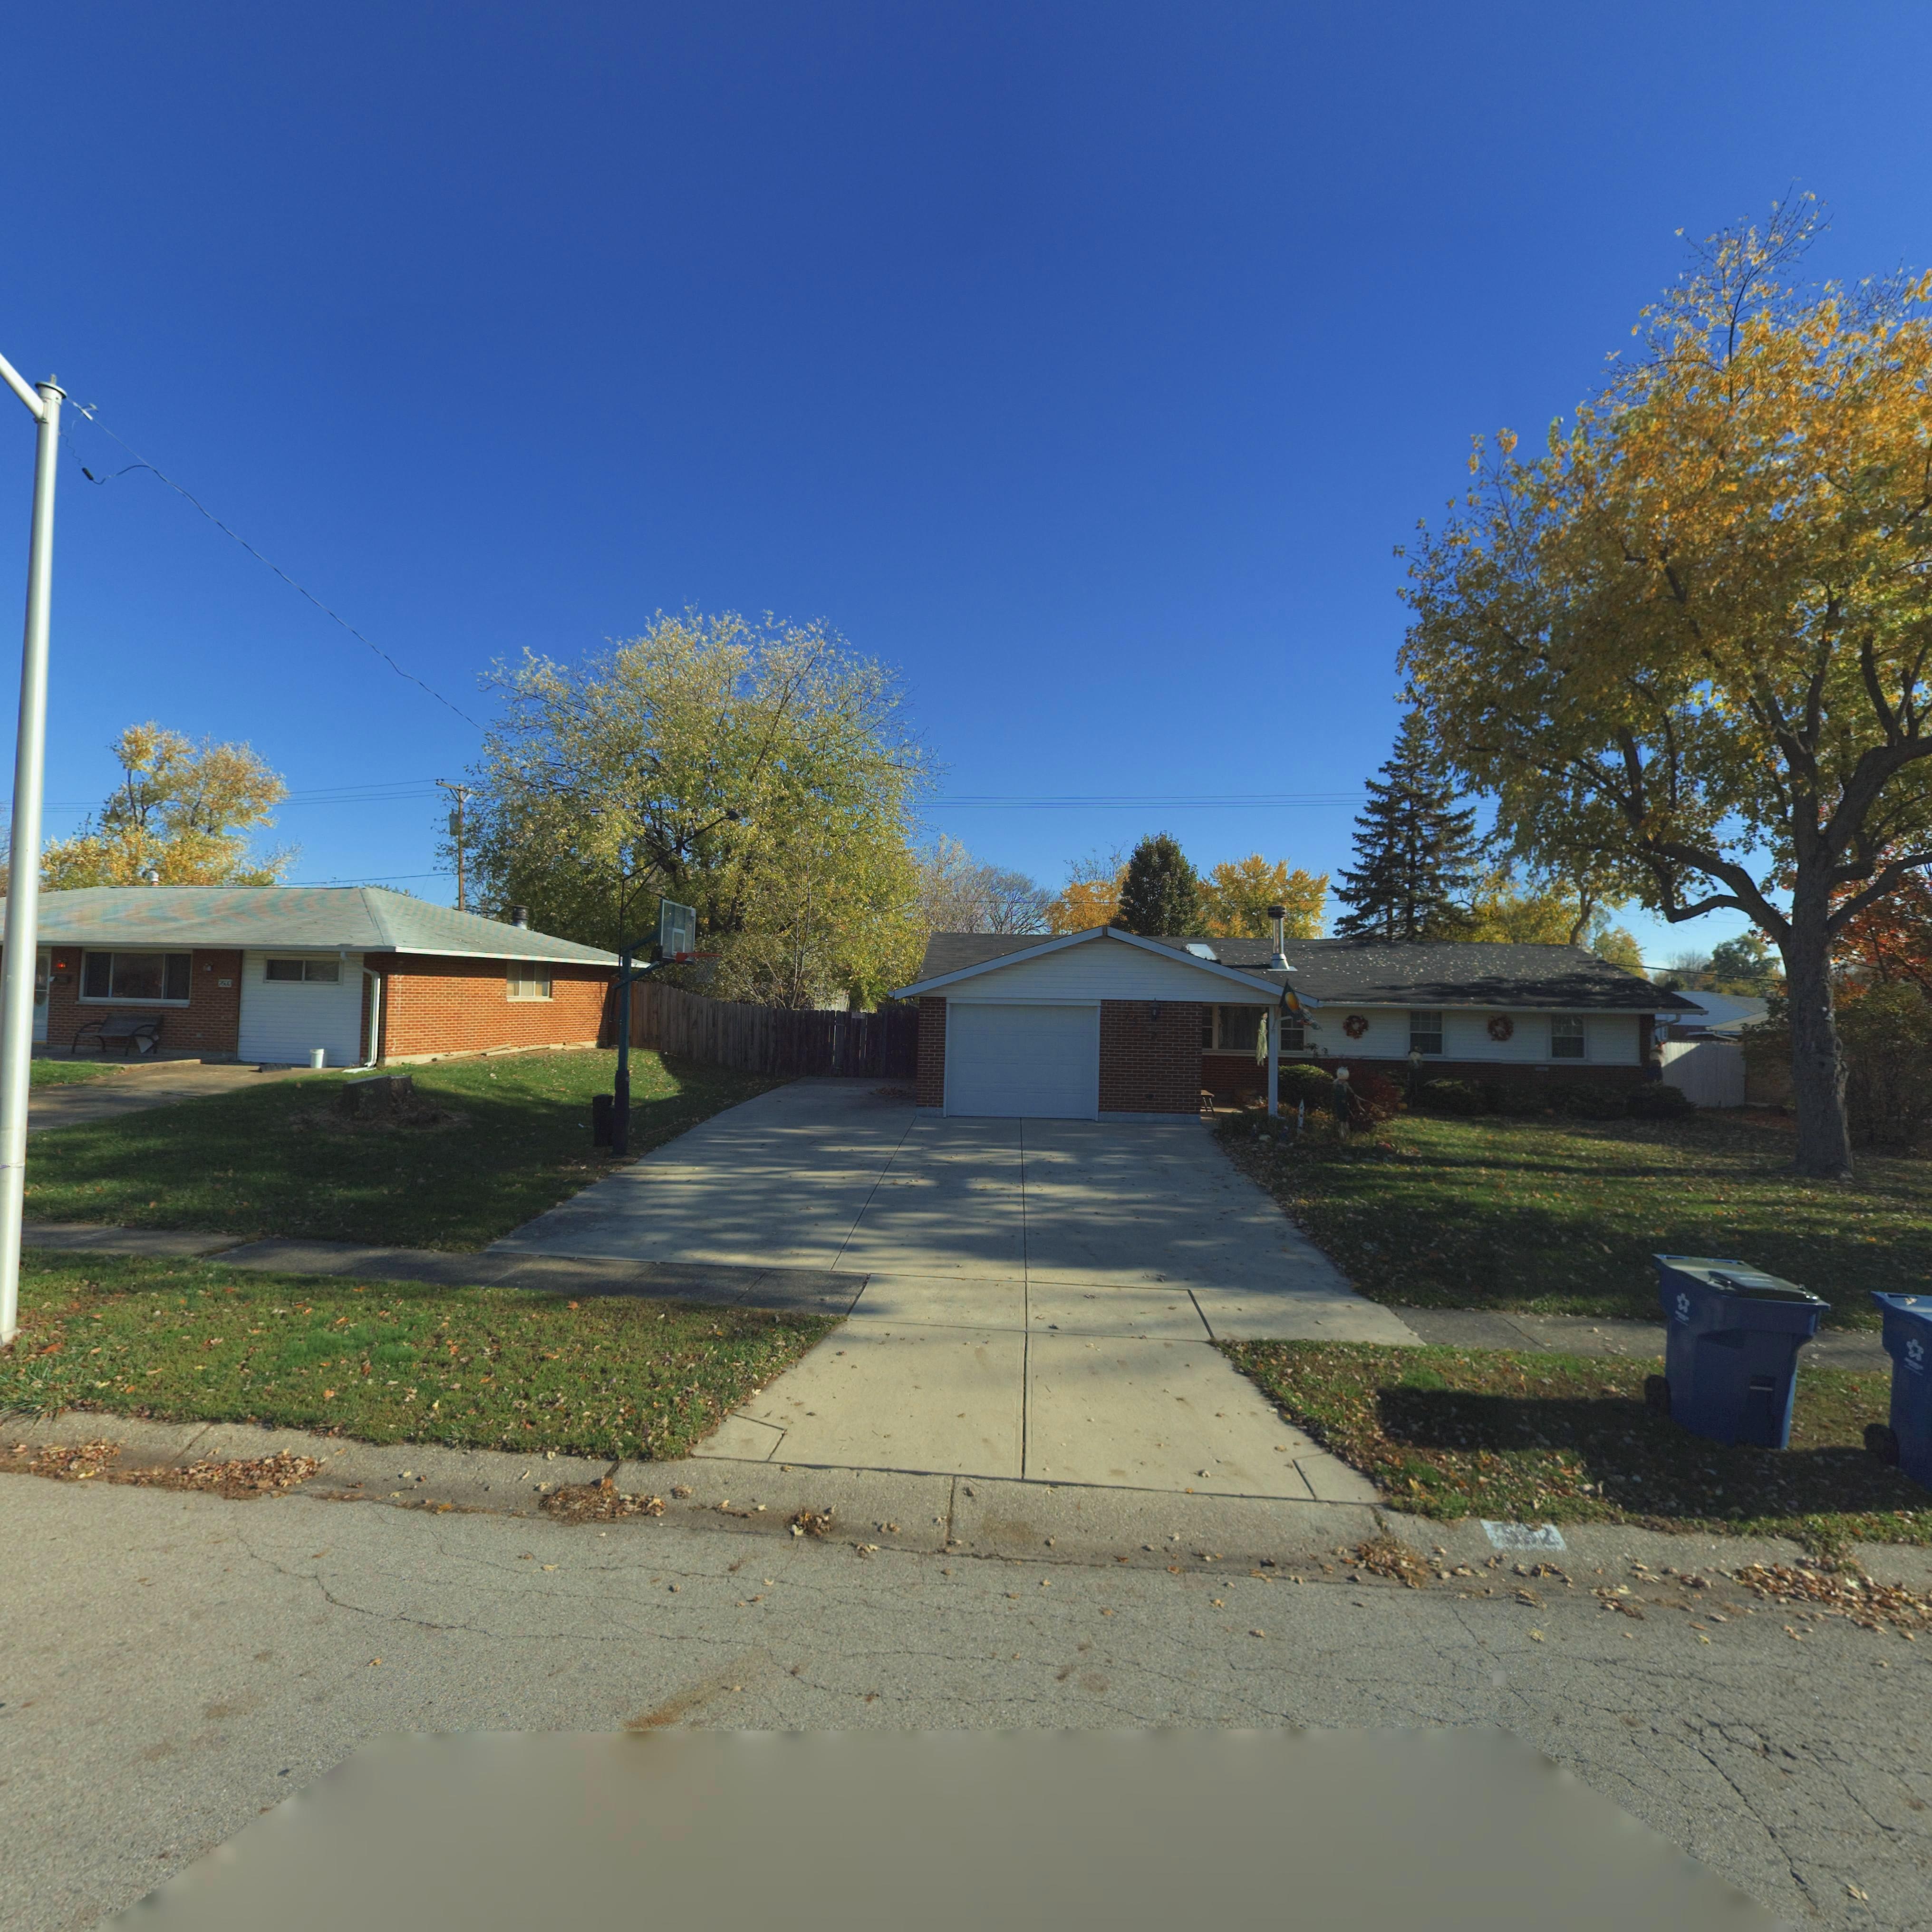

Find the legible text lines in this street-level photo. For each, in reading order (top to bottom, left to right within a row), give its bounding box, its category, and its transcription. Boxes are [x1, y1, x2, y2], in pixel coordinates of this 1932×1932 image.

[1496, 1521, 1560, 1547] StreetNumber: 5**